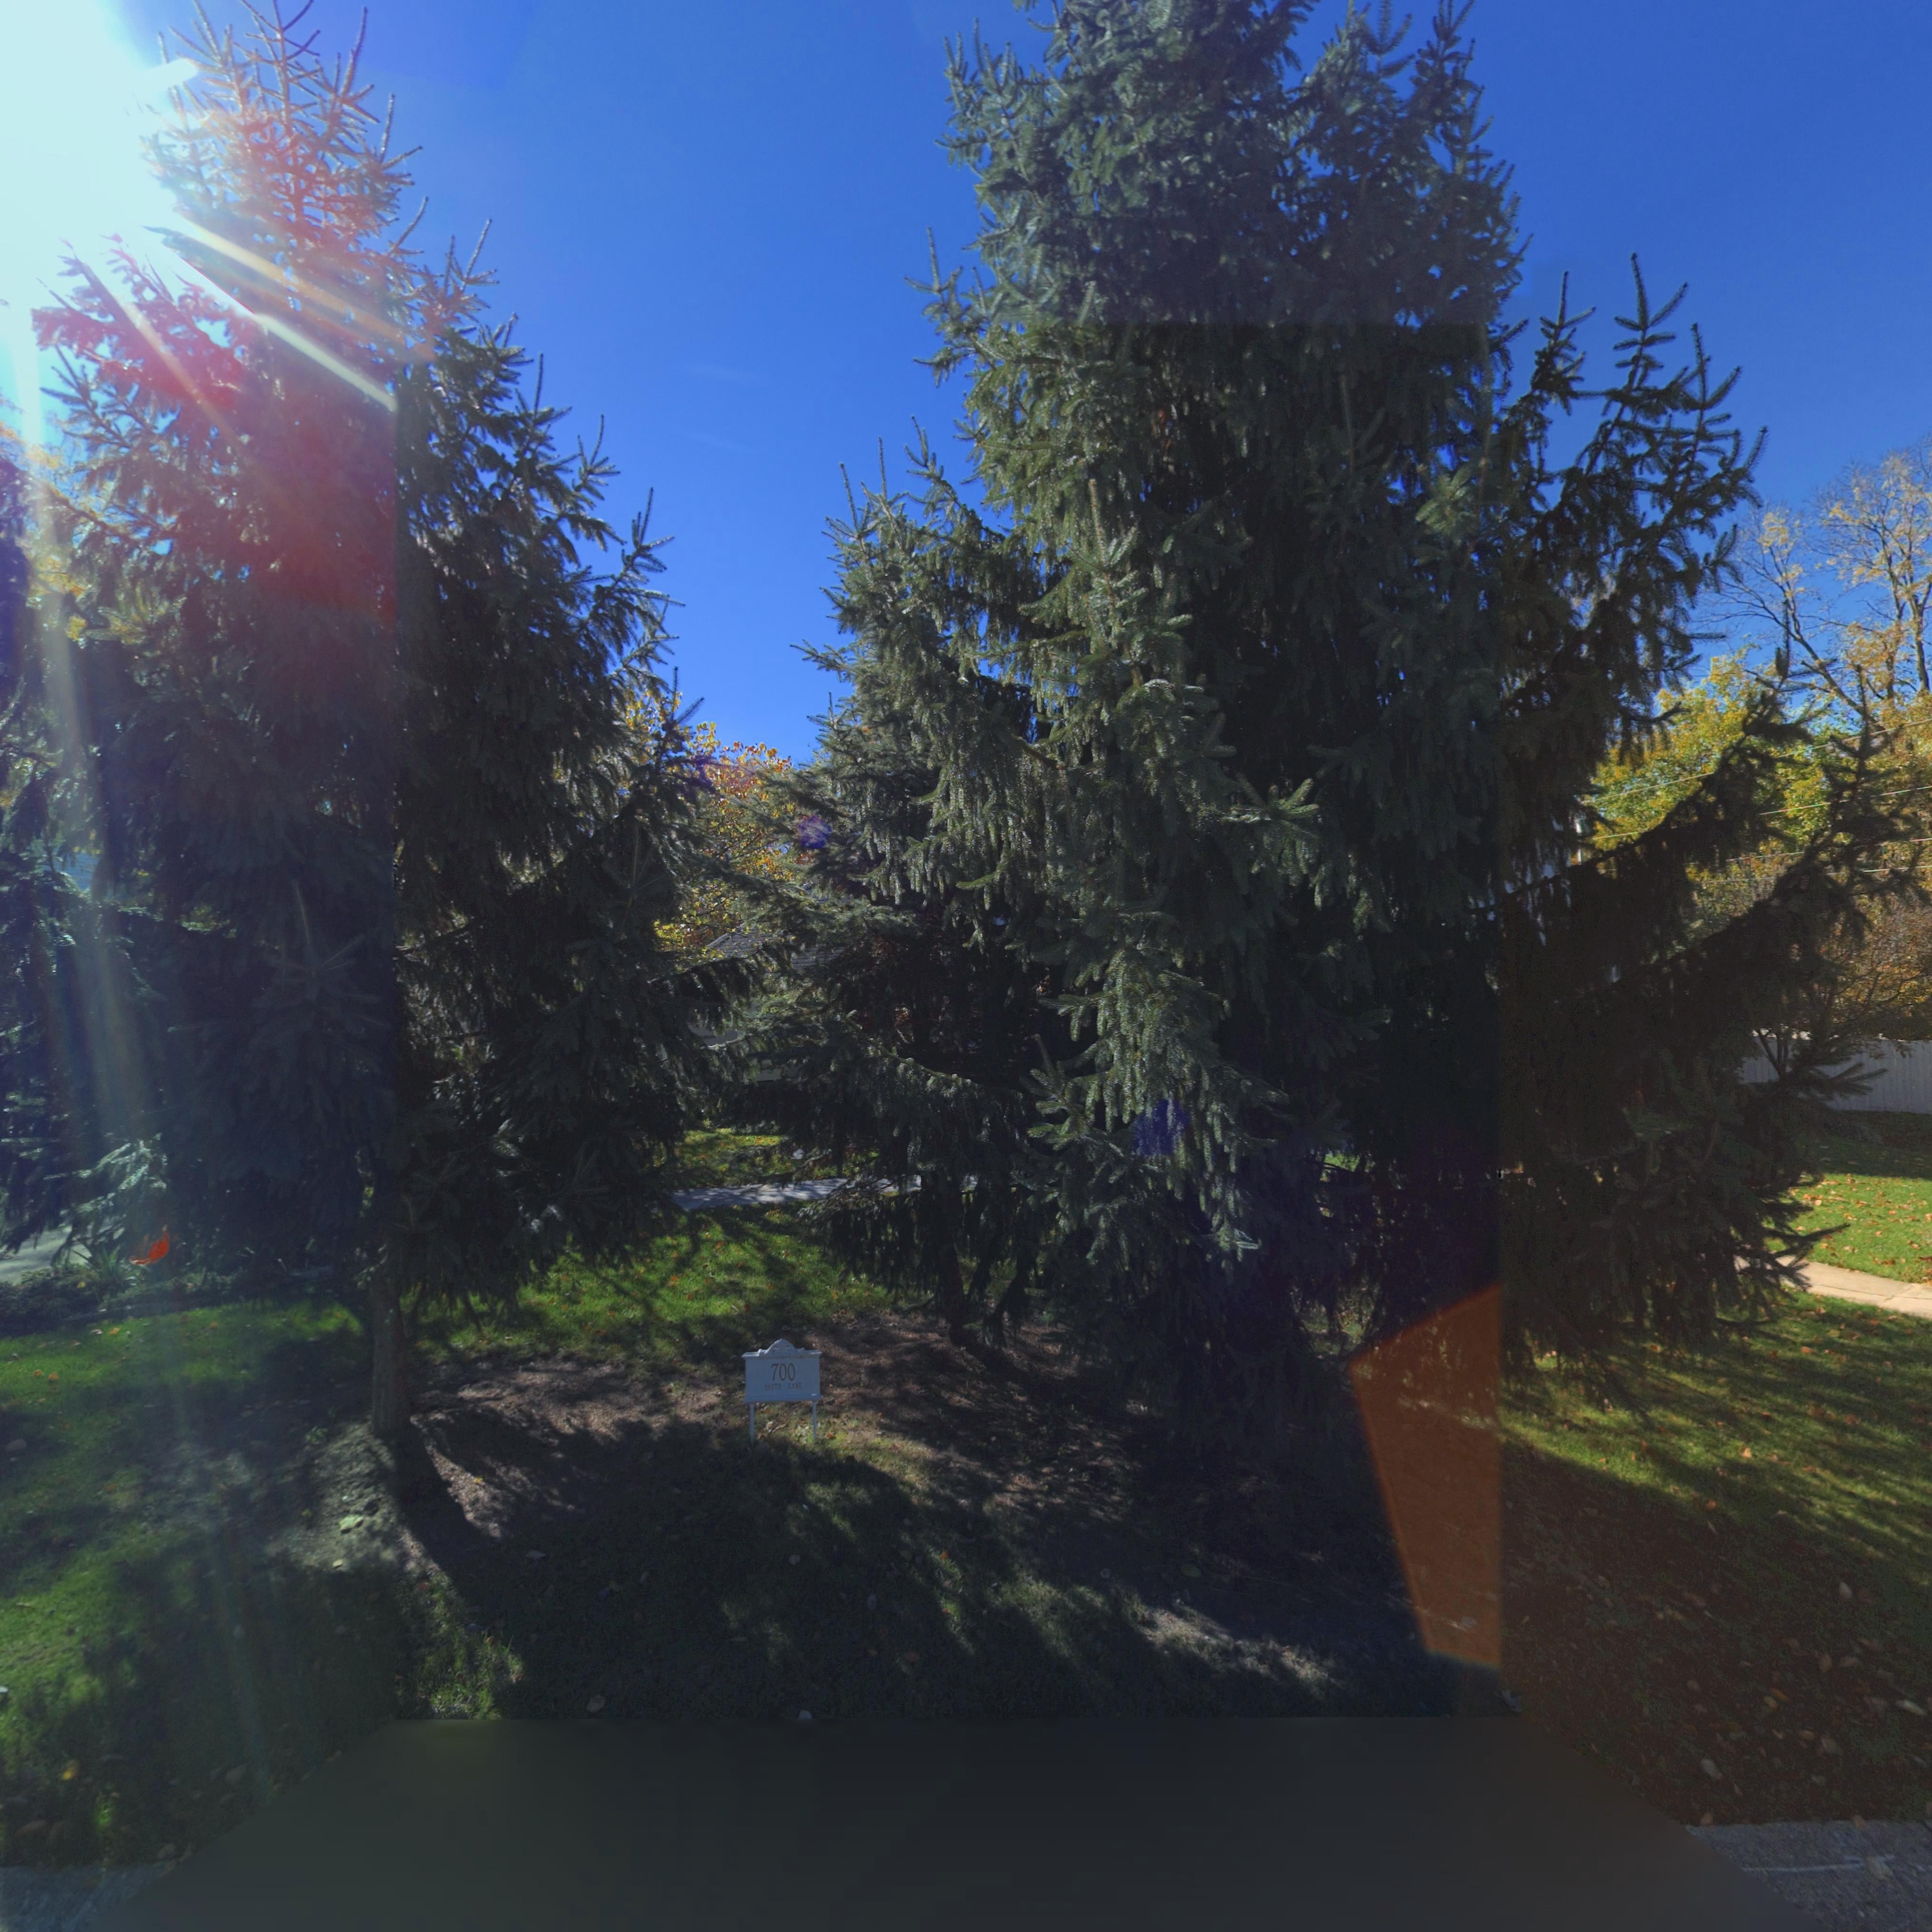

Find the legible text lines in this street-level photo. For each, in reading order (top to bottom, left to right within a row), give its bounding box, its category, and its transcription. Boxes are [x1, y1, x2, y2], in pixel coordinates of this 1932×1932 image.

[770, 1362, 796, 1381] StreetNumber: 700